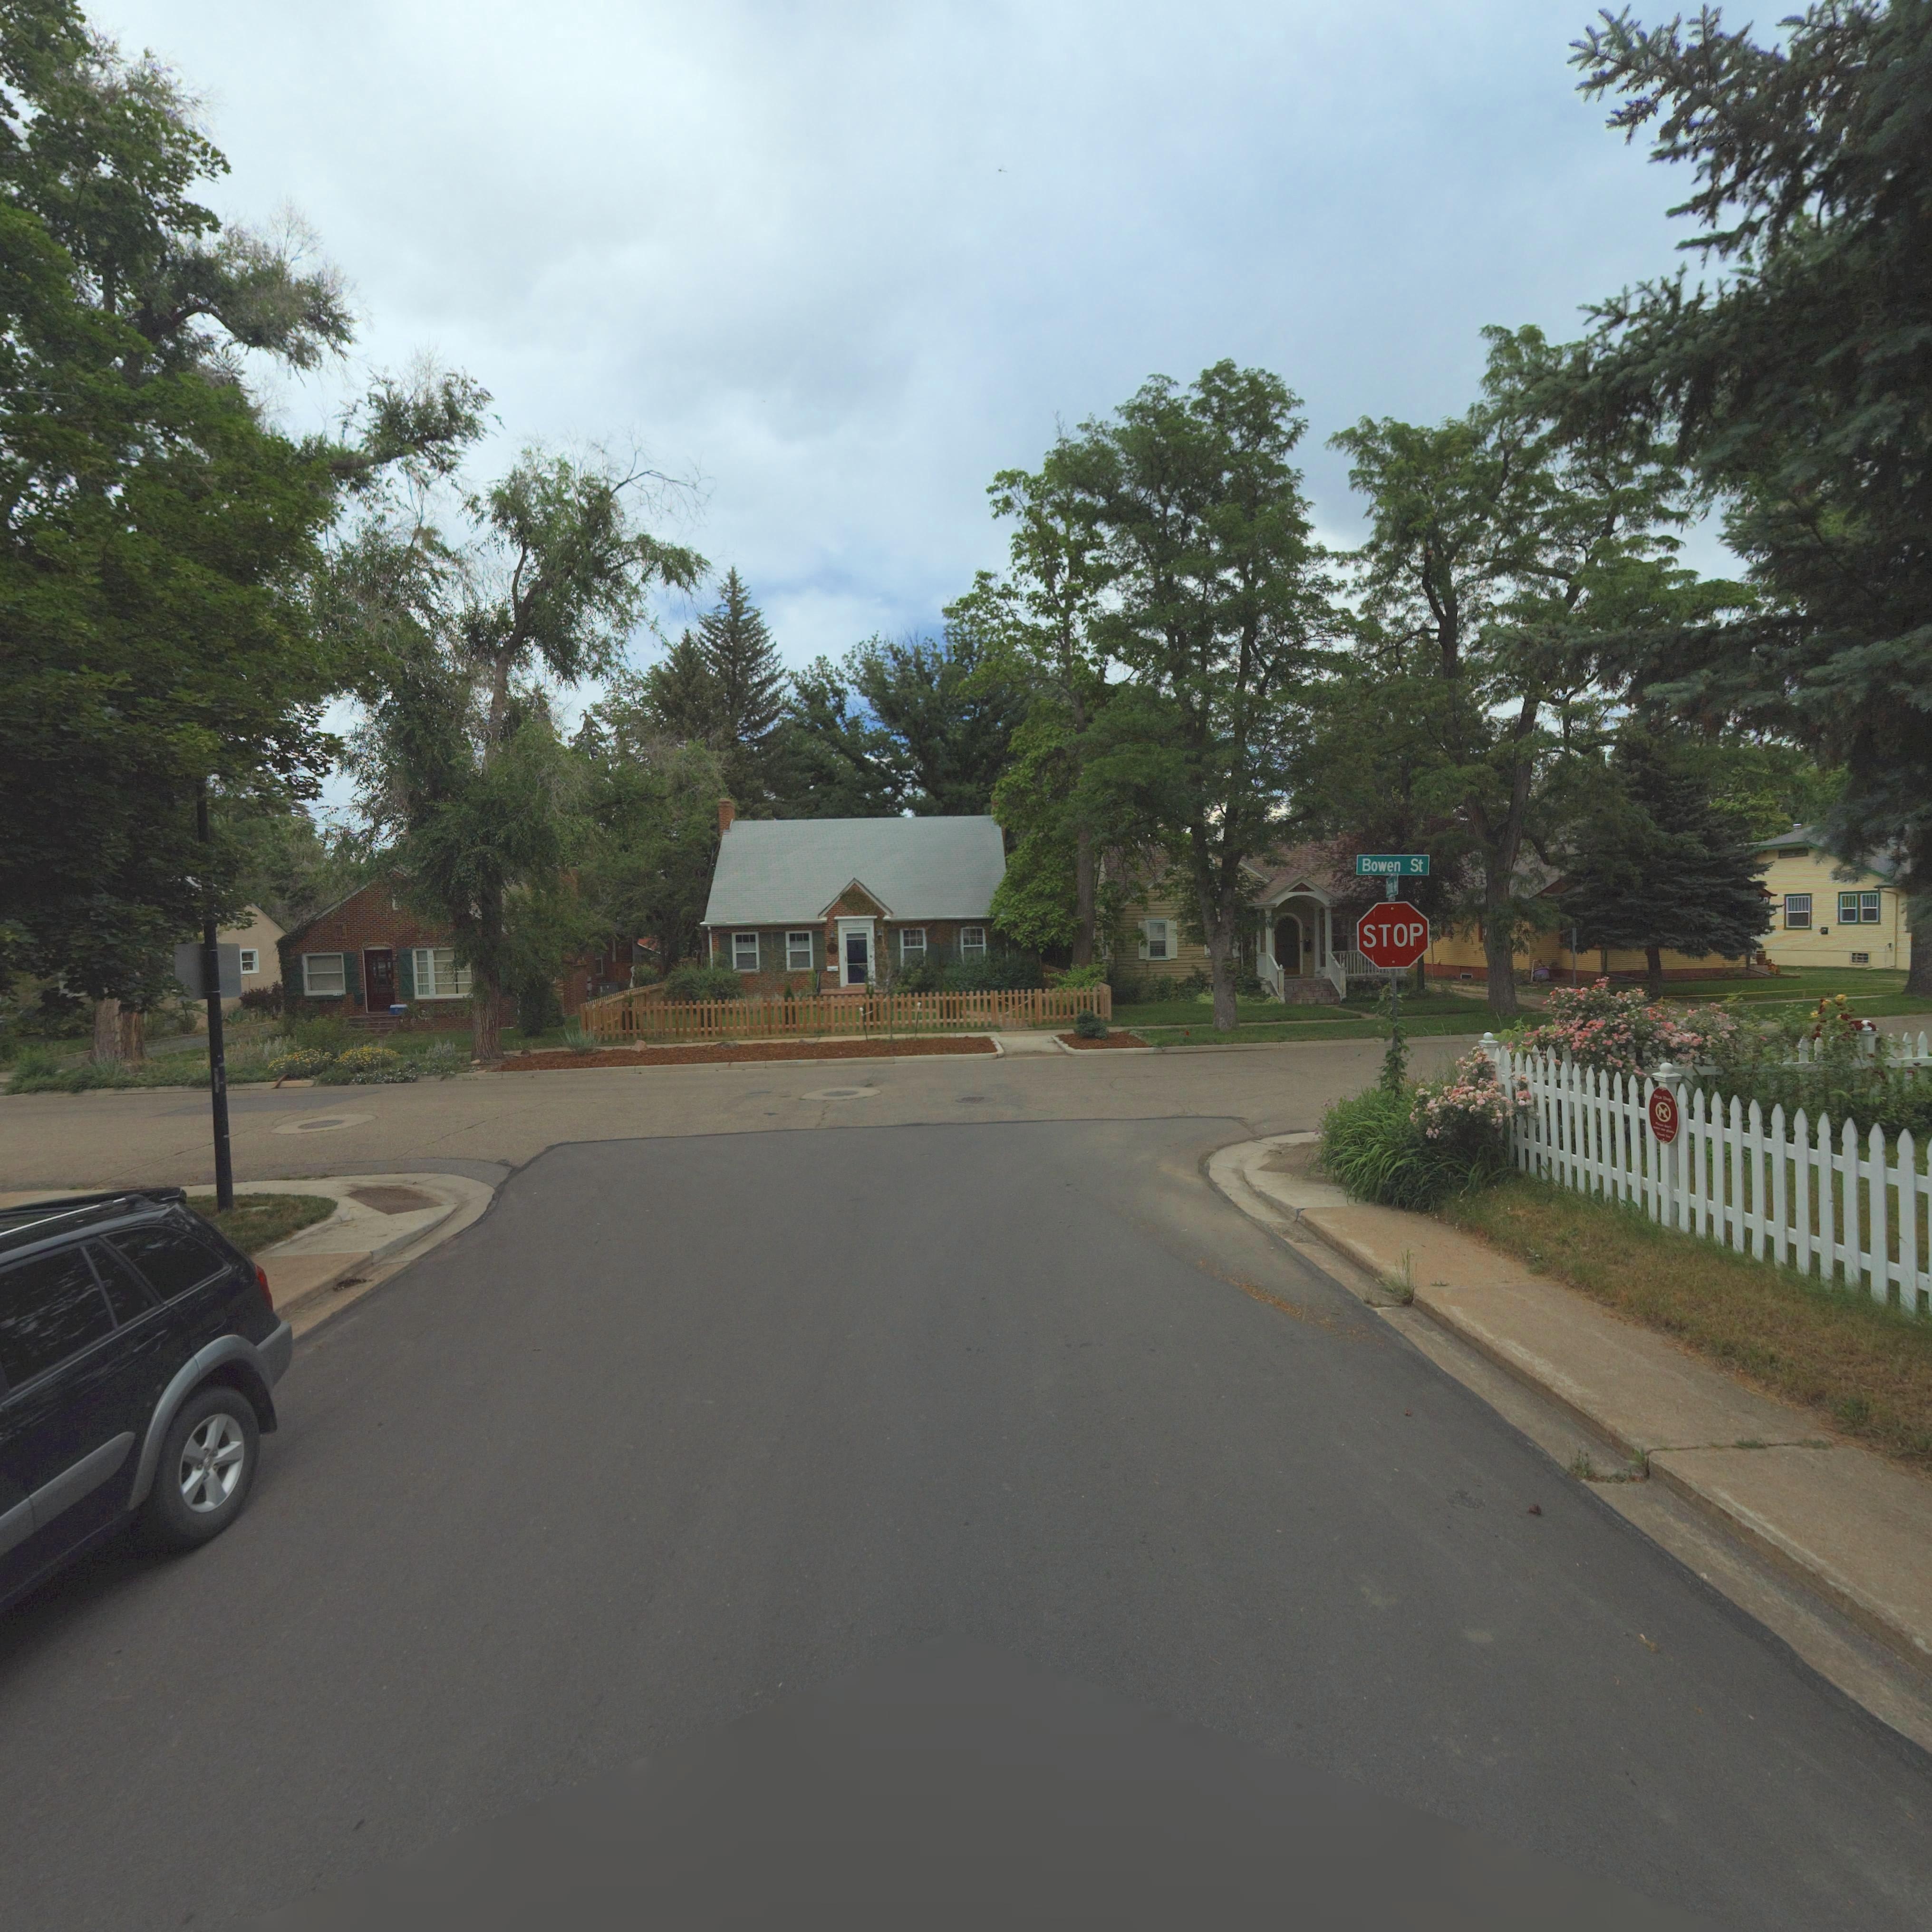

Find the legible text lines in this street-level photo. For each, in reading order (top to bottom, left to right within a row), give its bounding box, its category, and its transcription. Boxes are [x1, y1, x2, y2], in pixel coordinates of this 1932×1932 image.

[1362, 858, 1423, 871] StreetName: Bowen St